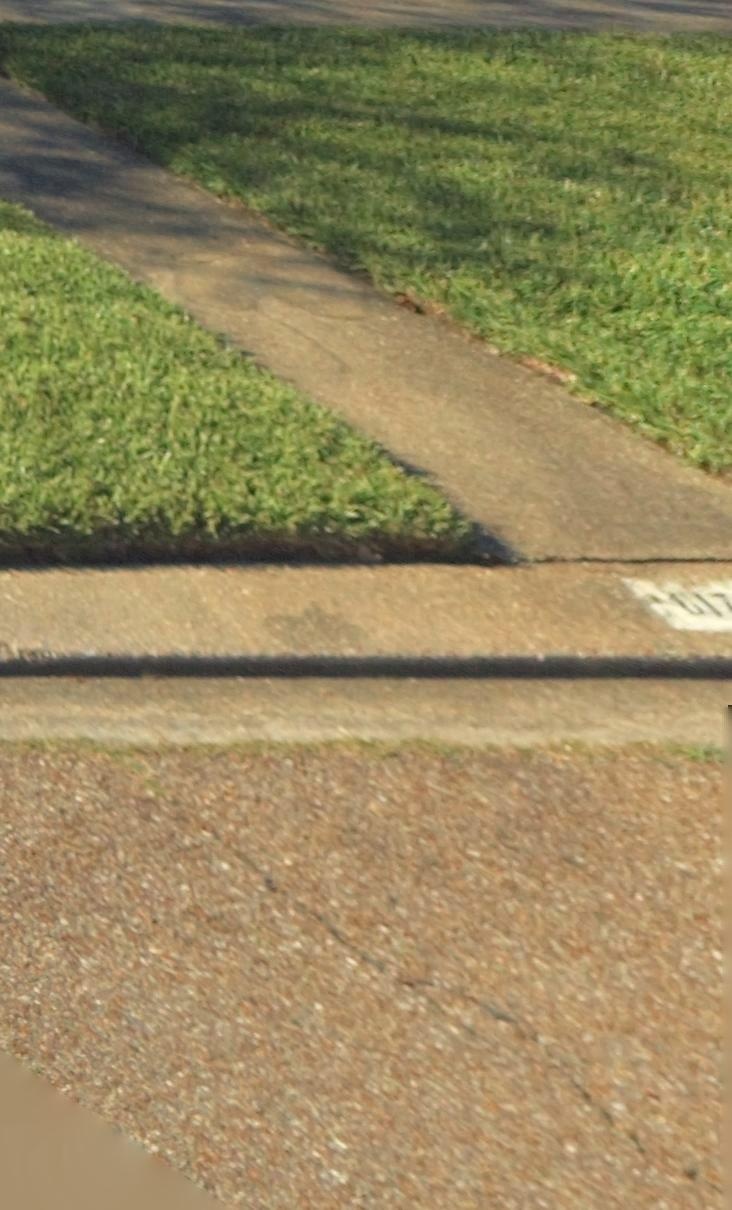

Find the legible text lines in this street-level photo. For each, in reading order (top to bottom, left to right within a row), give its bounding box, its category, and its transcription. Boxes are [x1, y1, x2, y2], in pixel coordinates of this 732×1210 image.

[659, 588, 731, 620] StreetNumber: *1